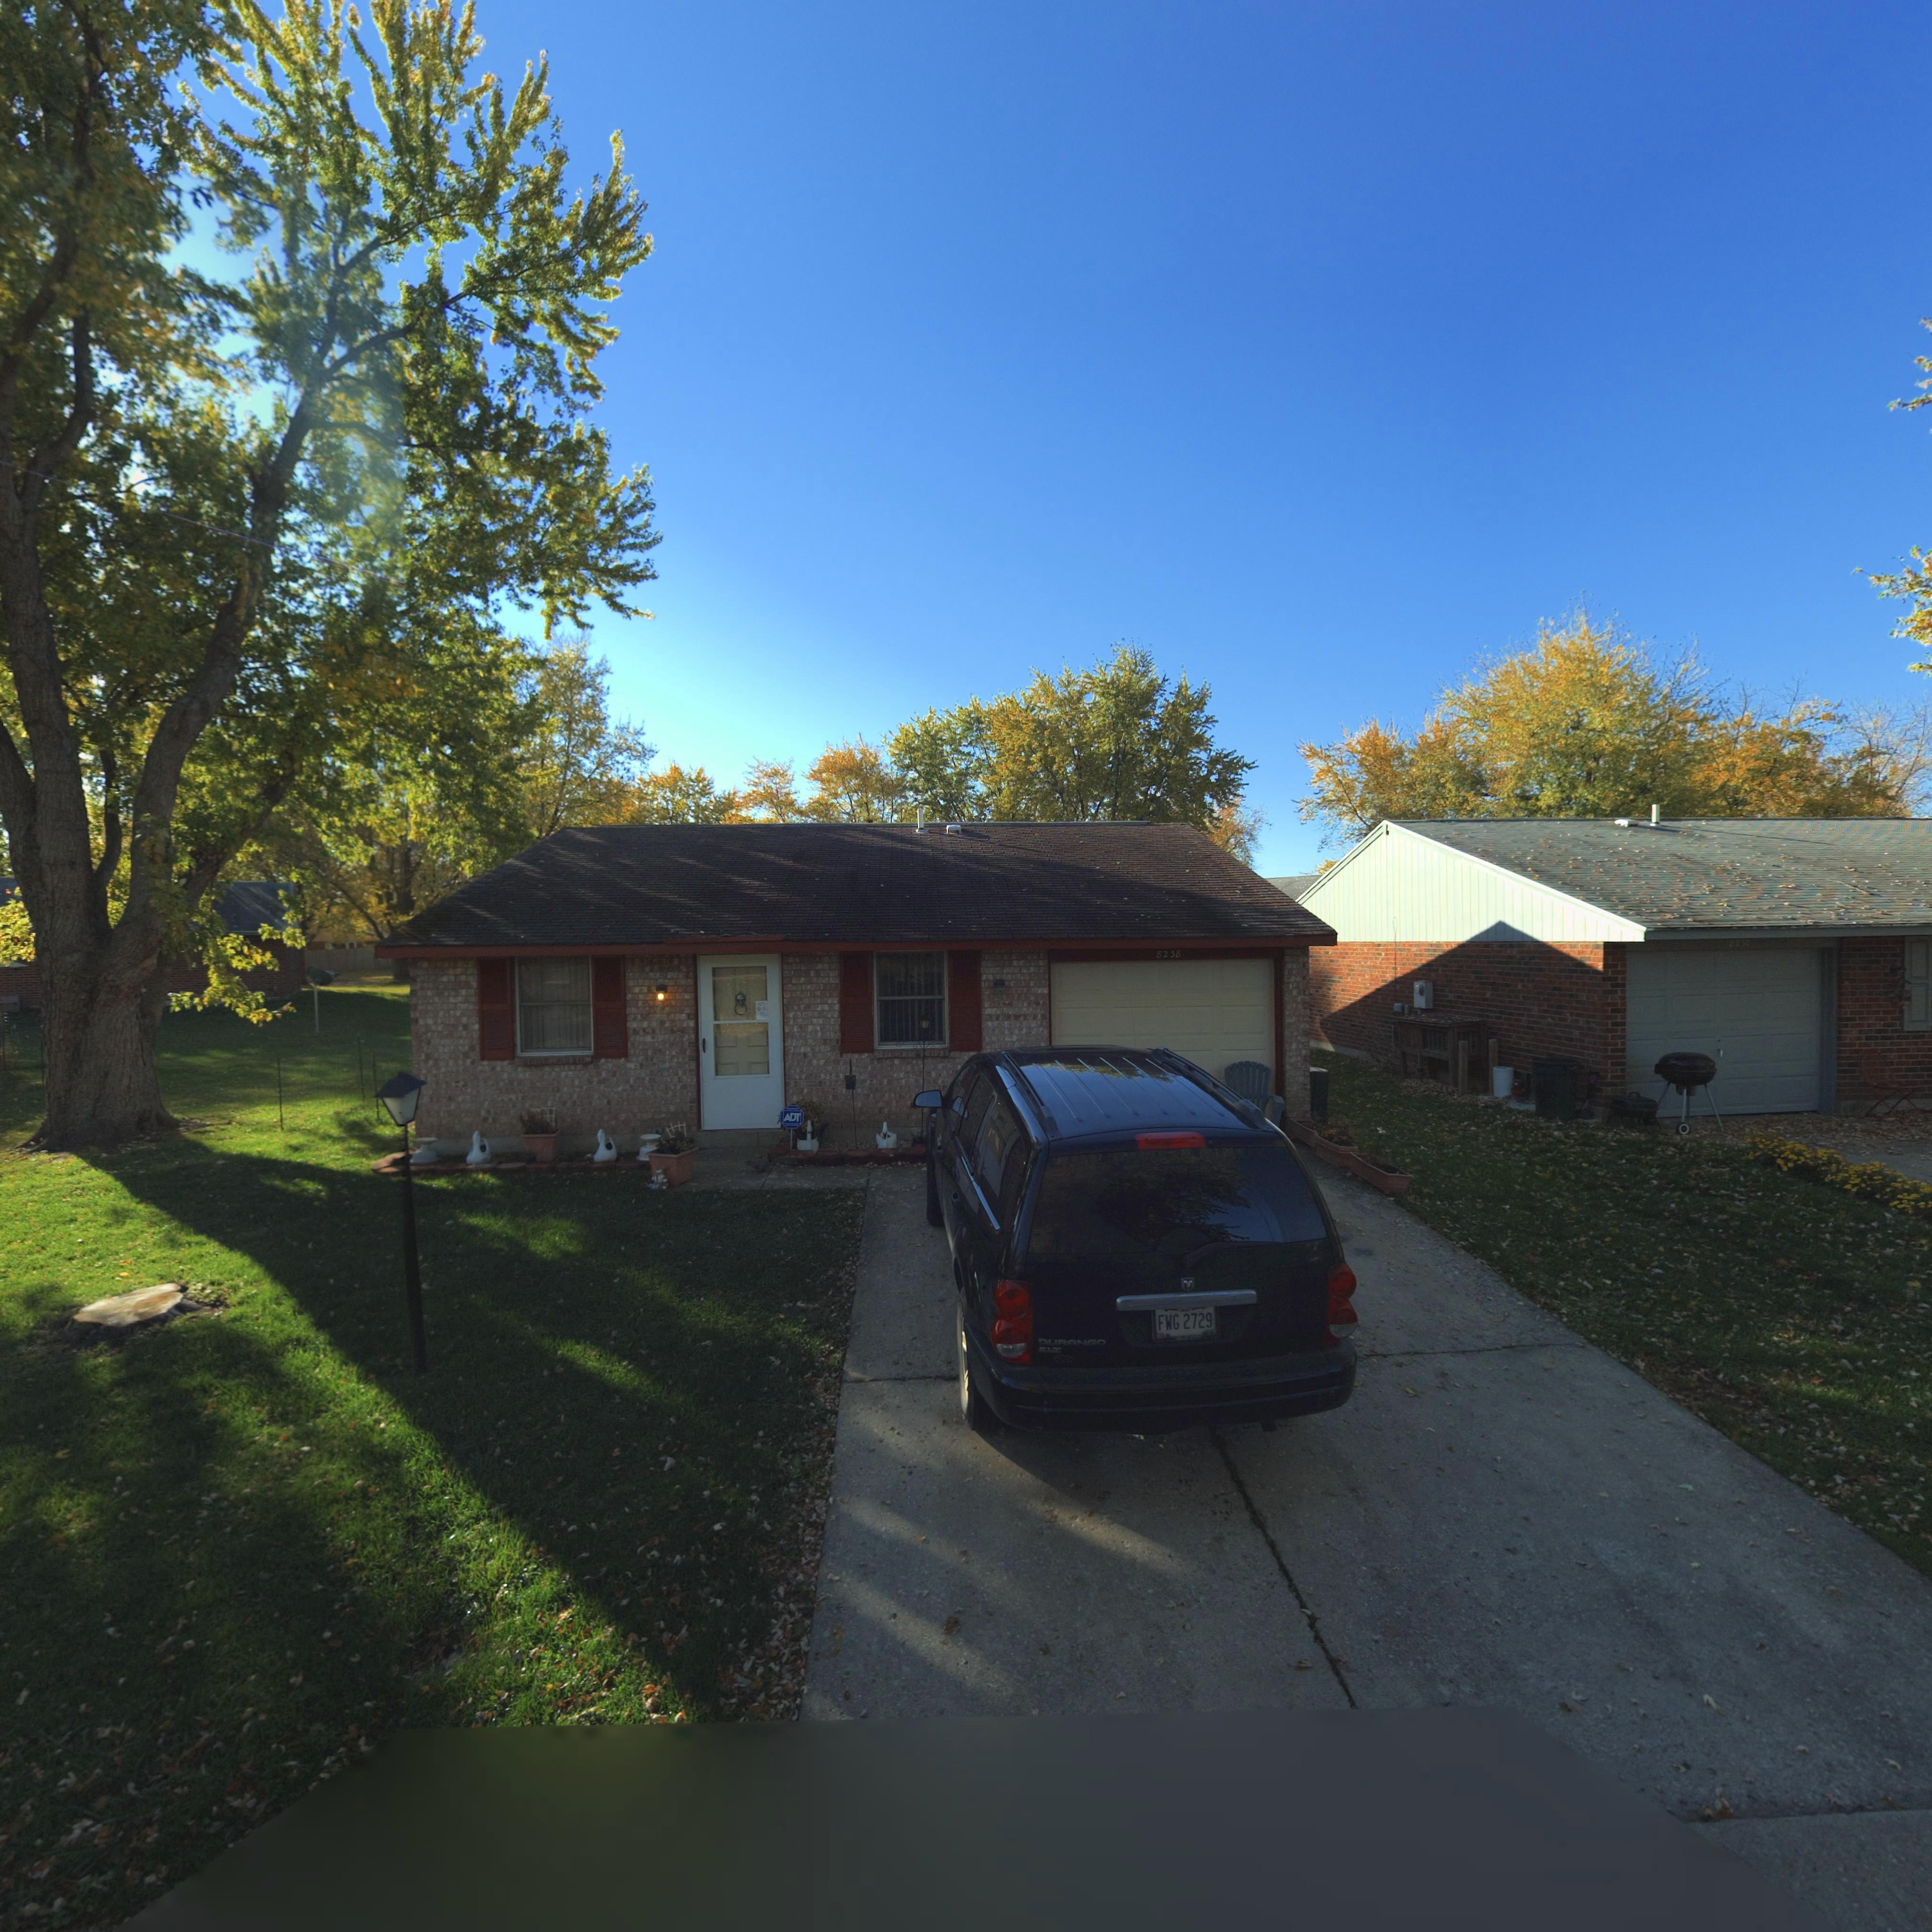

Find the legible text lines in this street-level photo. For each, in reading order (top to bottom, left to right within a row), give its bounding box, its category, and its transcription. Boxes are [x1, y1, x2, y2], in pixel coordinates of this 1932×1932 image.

[1728, 938, 1751, 948] StreetNumber: 8230
[1156, 949, 1182, 959] StreetNumber: 8238